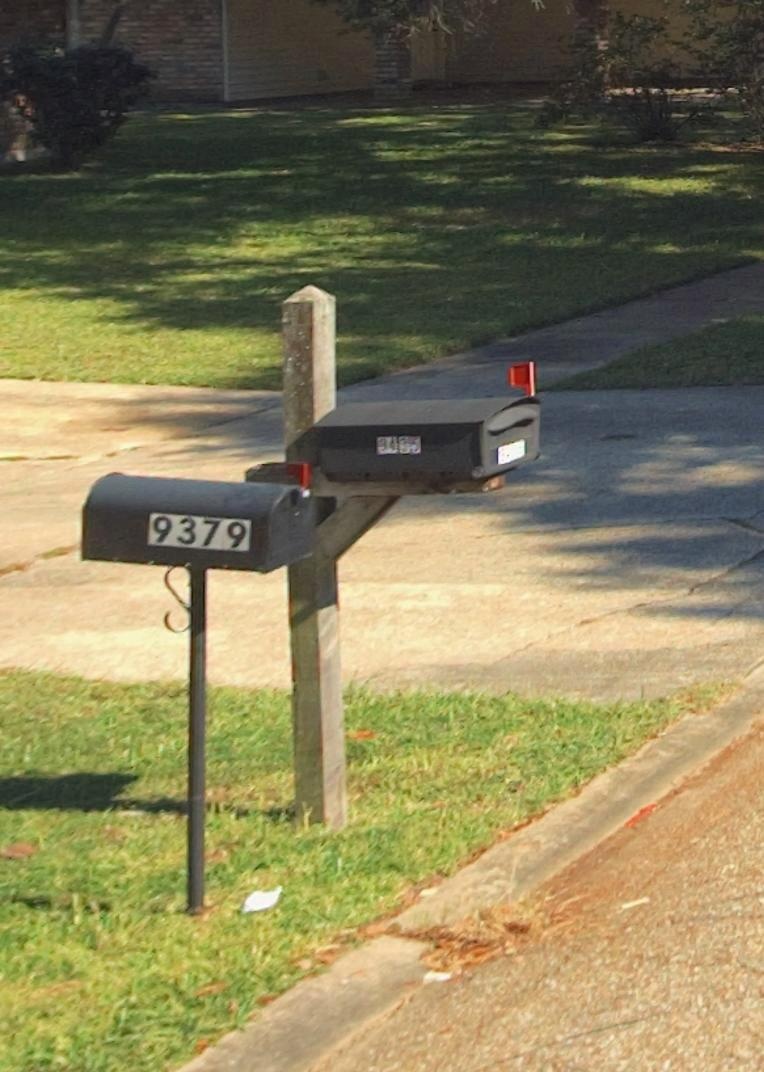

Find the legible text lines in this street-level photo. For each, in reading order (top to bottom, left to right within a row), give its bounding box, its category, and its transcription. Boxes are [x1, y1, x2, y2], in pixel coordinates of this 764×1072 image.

[378, 436, 421, 452] StreetNumber: 9435
[151, 514, 248, 550] StreetNumber: 9379